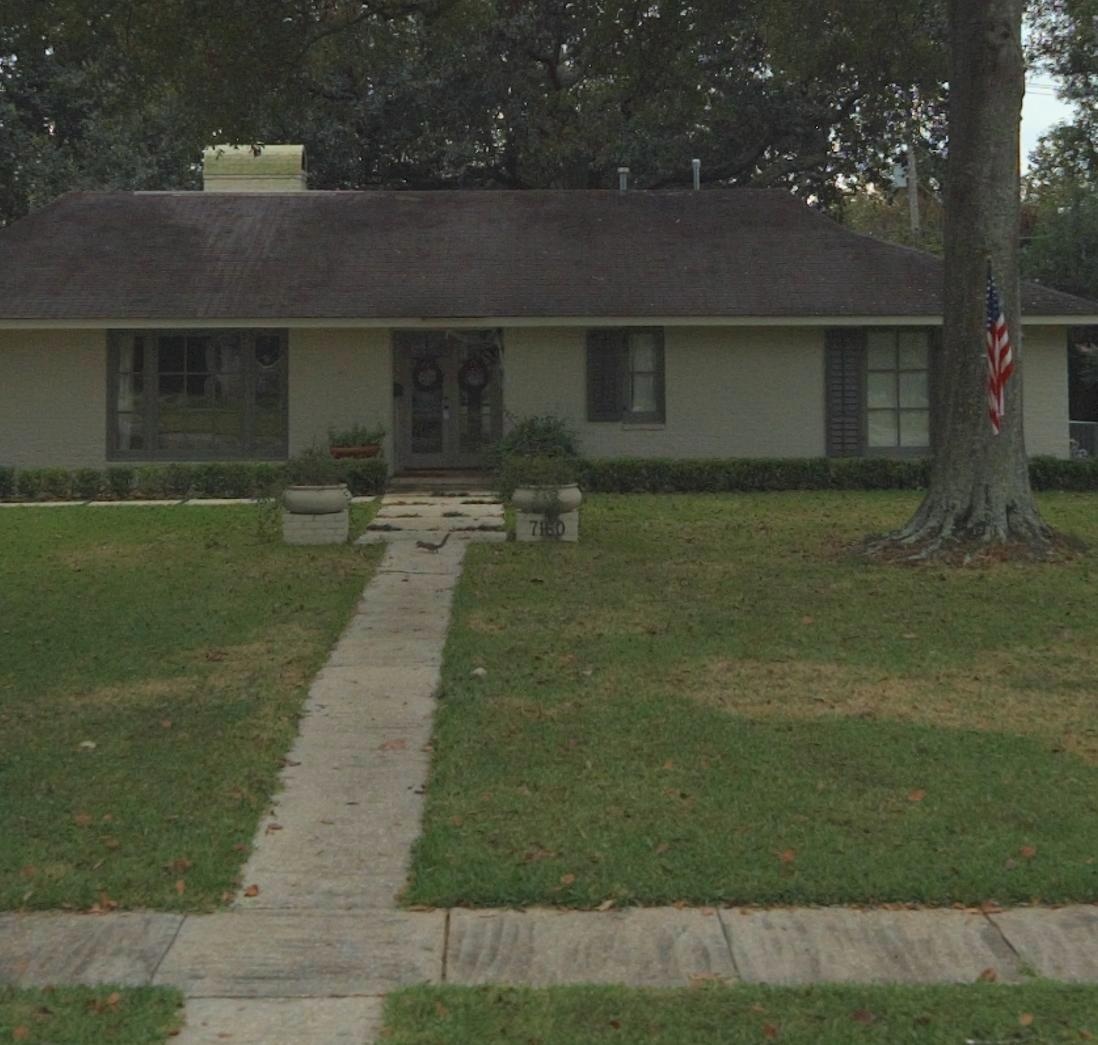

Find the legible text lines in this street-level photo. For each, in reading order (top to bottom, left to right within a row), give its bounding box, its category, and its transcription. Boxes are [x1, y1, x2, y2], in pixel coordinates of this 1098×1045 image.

[528, 521, 566, 537] StreetNumber: 7160